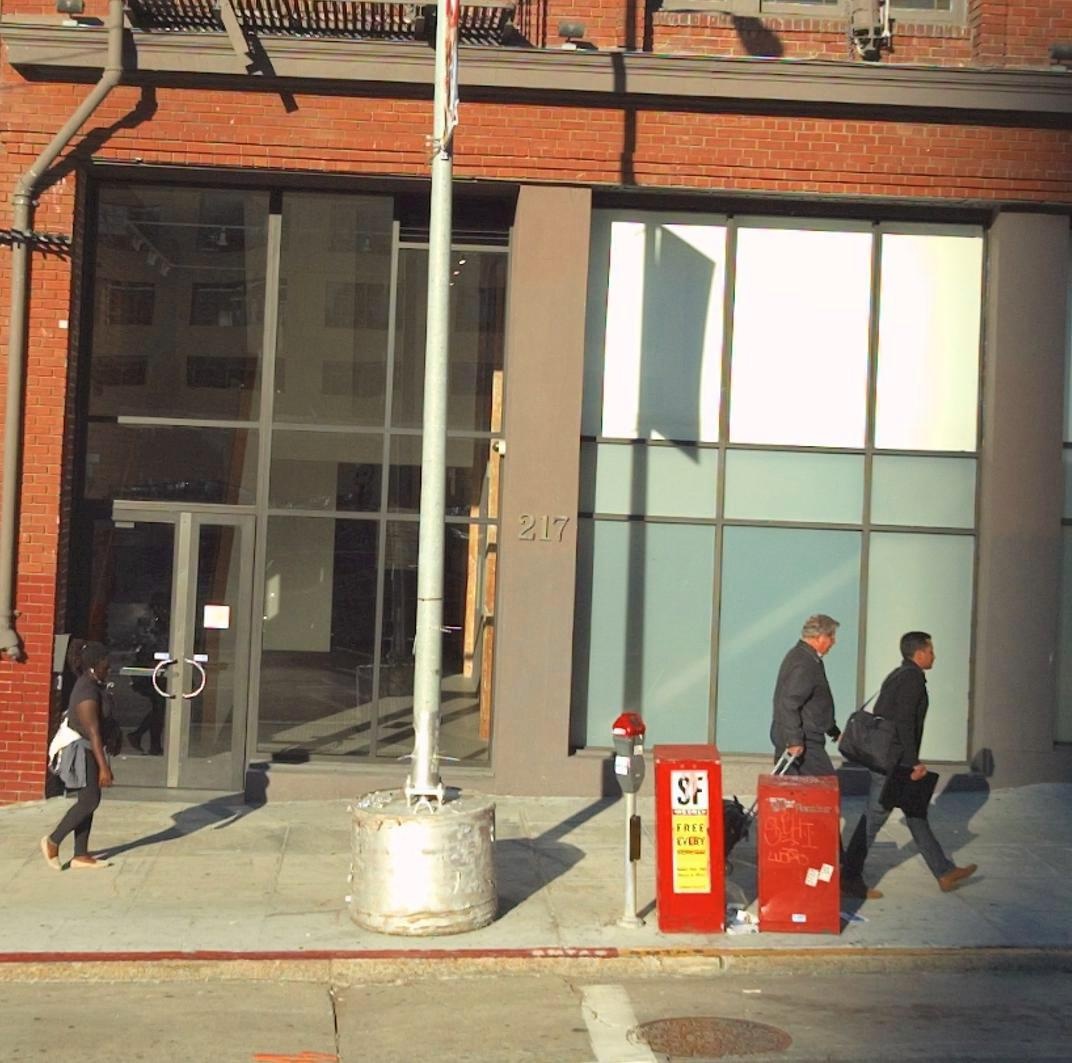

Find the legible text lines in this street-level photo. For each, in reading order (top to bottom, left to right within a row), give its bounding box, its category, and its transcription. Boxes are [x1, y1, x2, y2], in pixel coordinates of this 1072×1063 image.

[517, 511, 572, 543] StreetNumber: 217
[676, 821, 707, 833] None: FREE